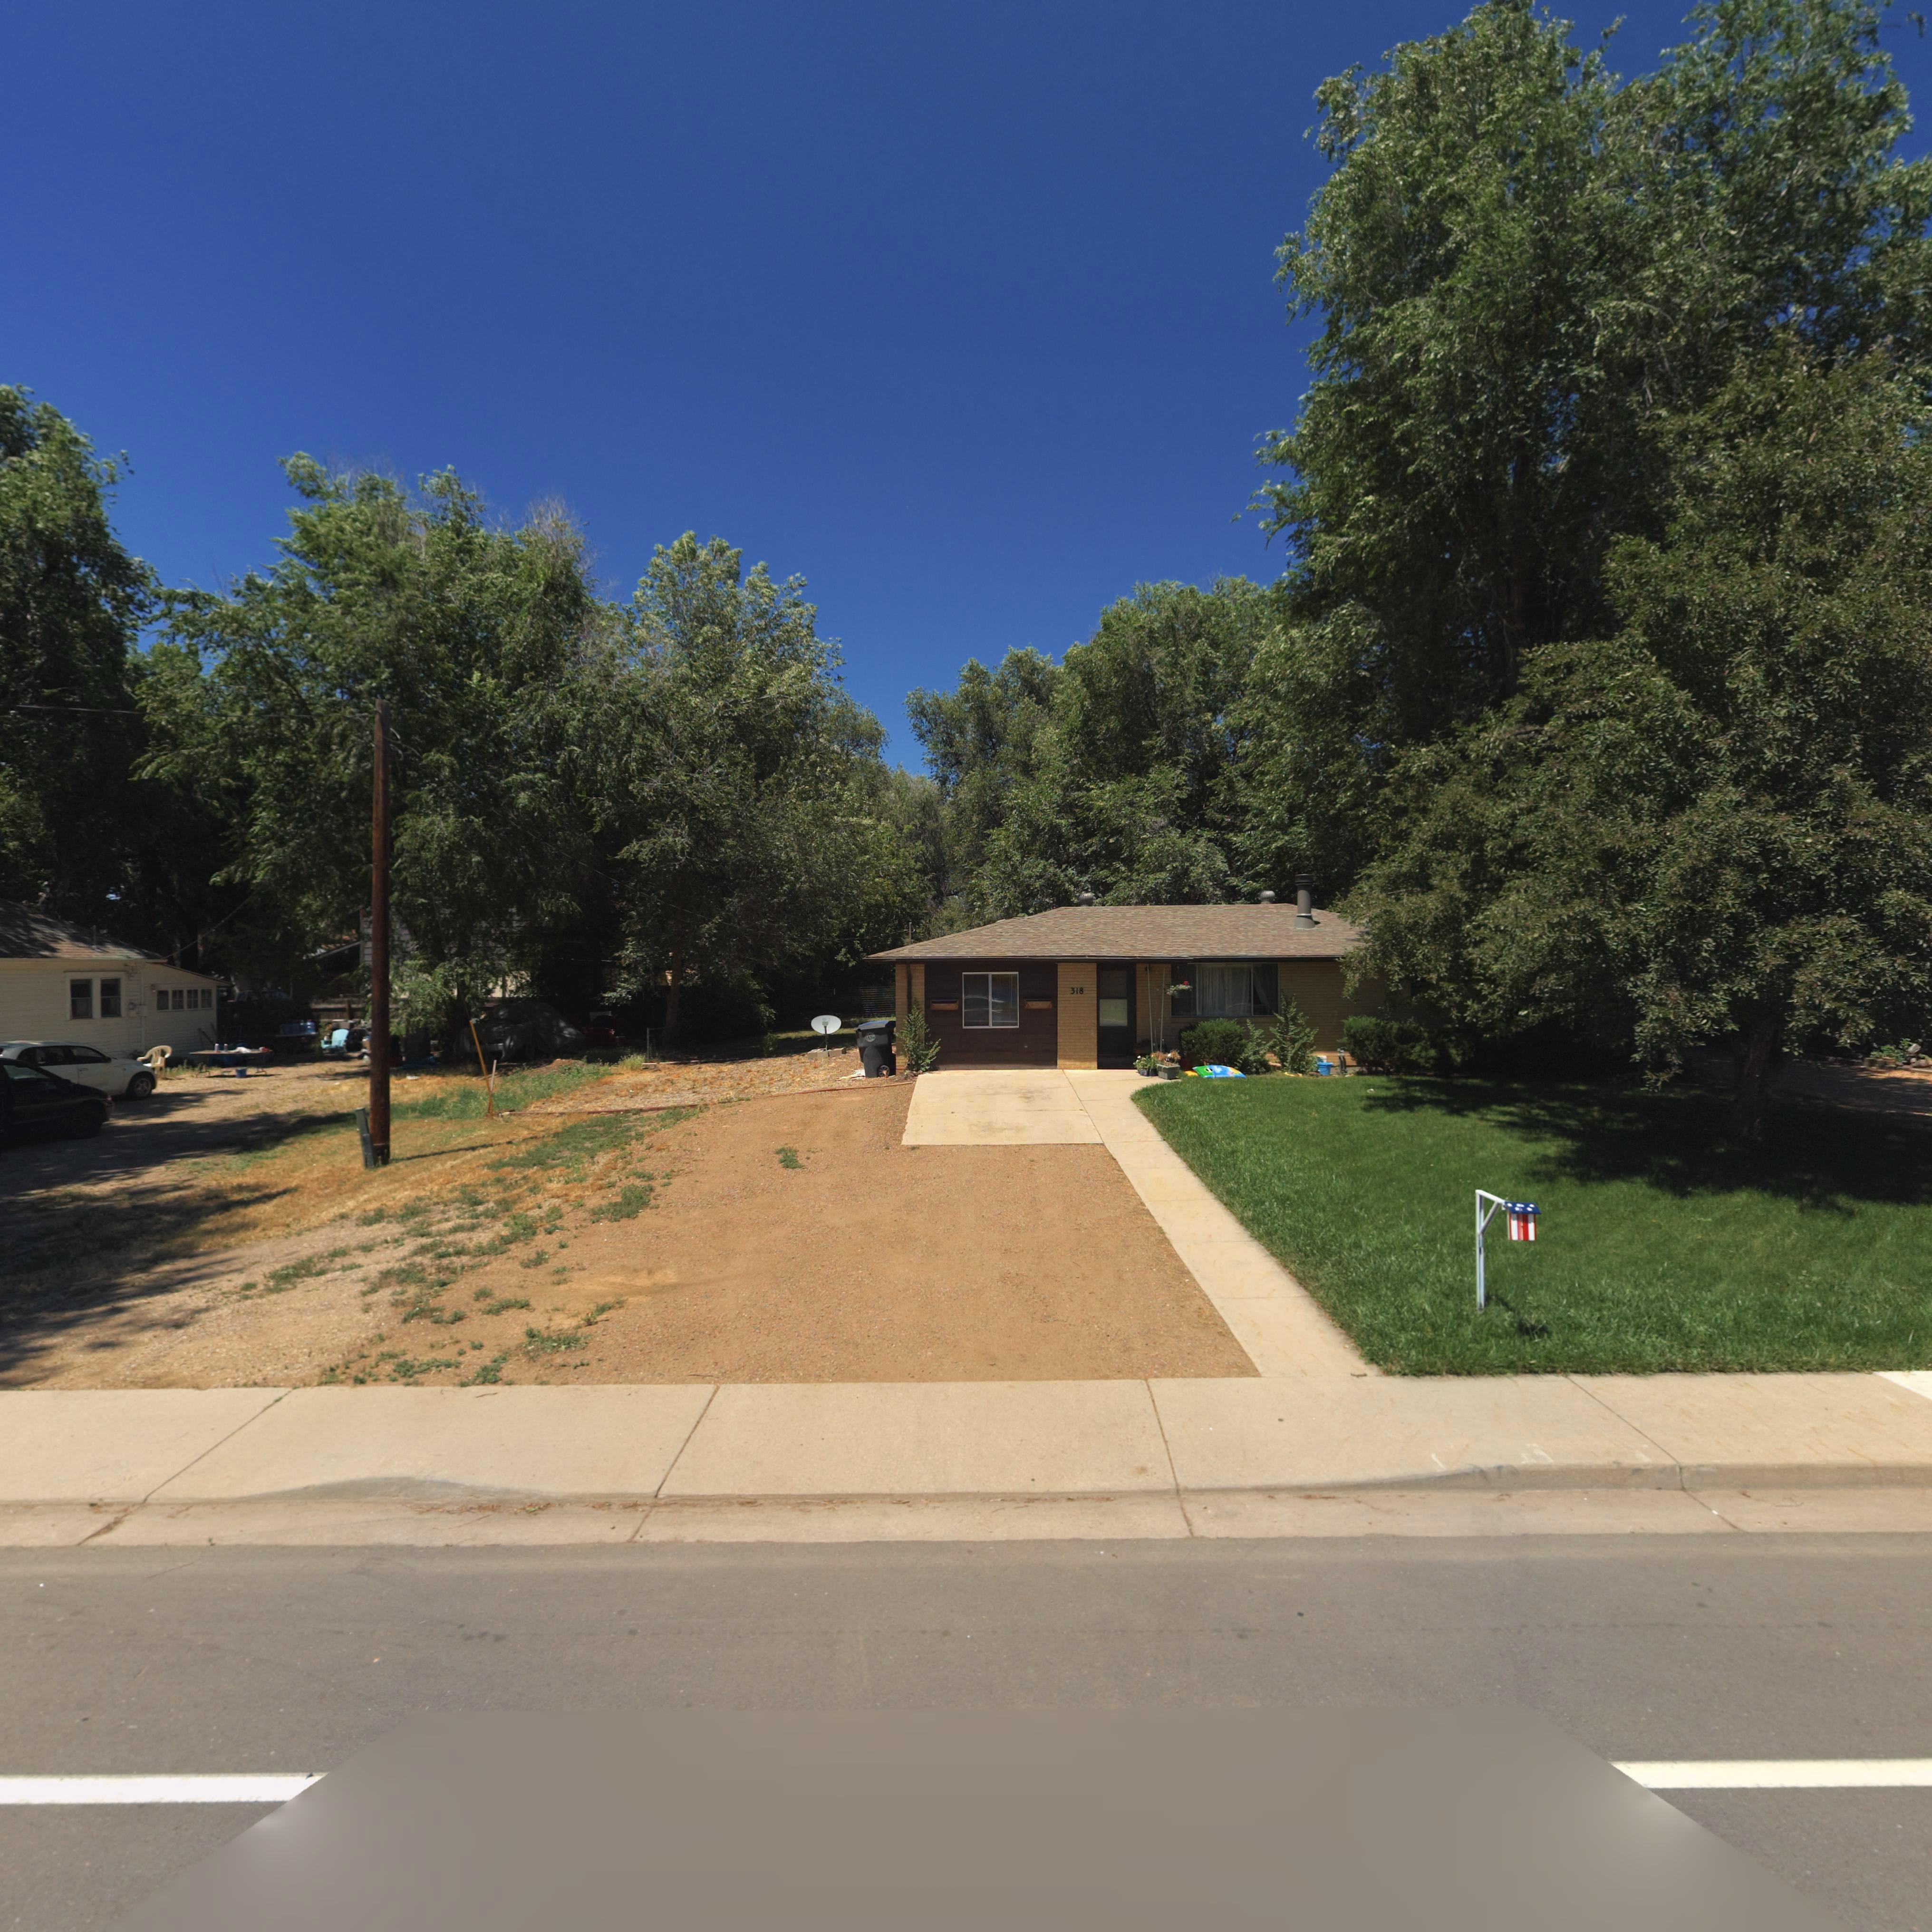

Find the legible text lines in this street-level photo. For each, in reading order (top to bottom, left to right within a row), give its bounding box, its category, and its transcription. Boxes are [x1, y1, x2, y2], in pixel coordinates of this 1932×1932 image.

[1070, 987, 1083, 994] StreetNumber: 318